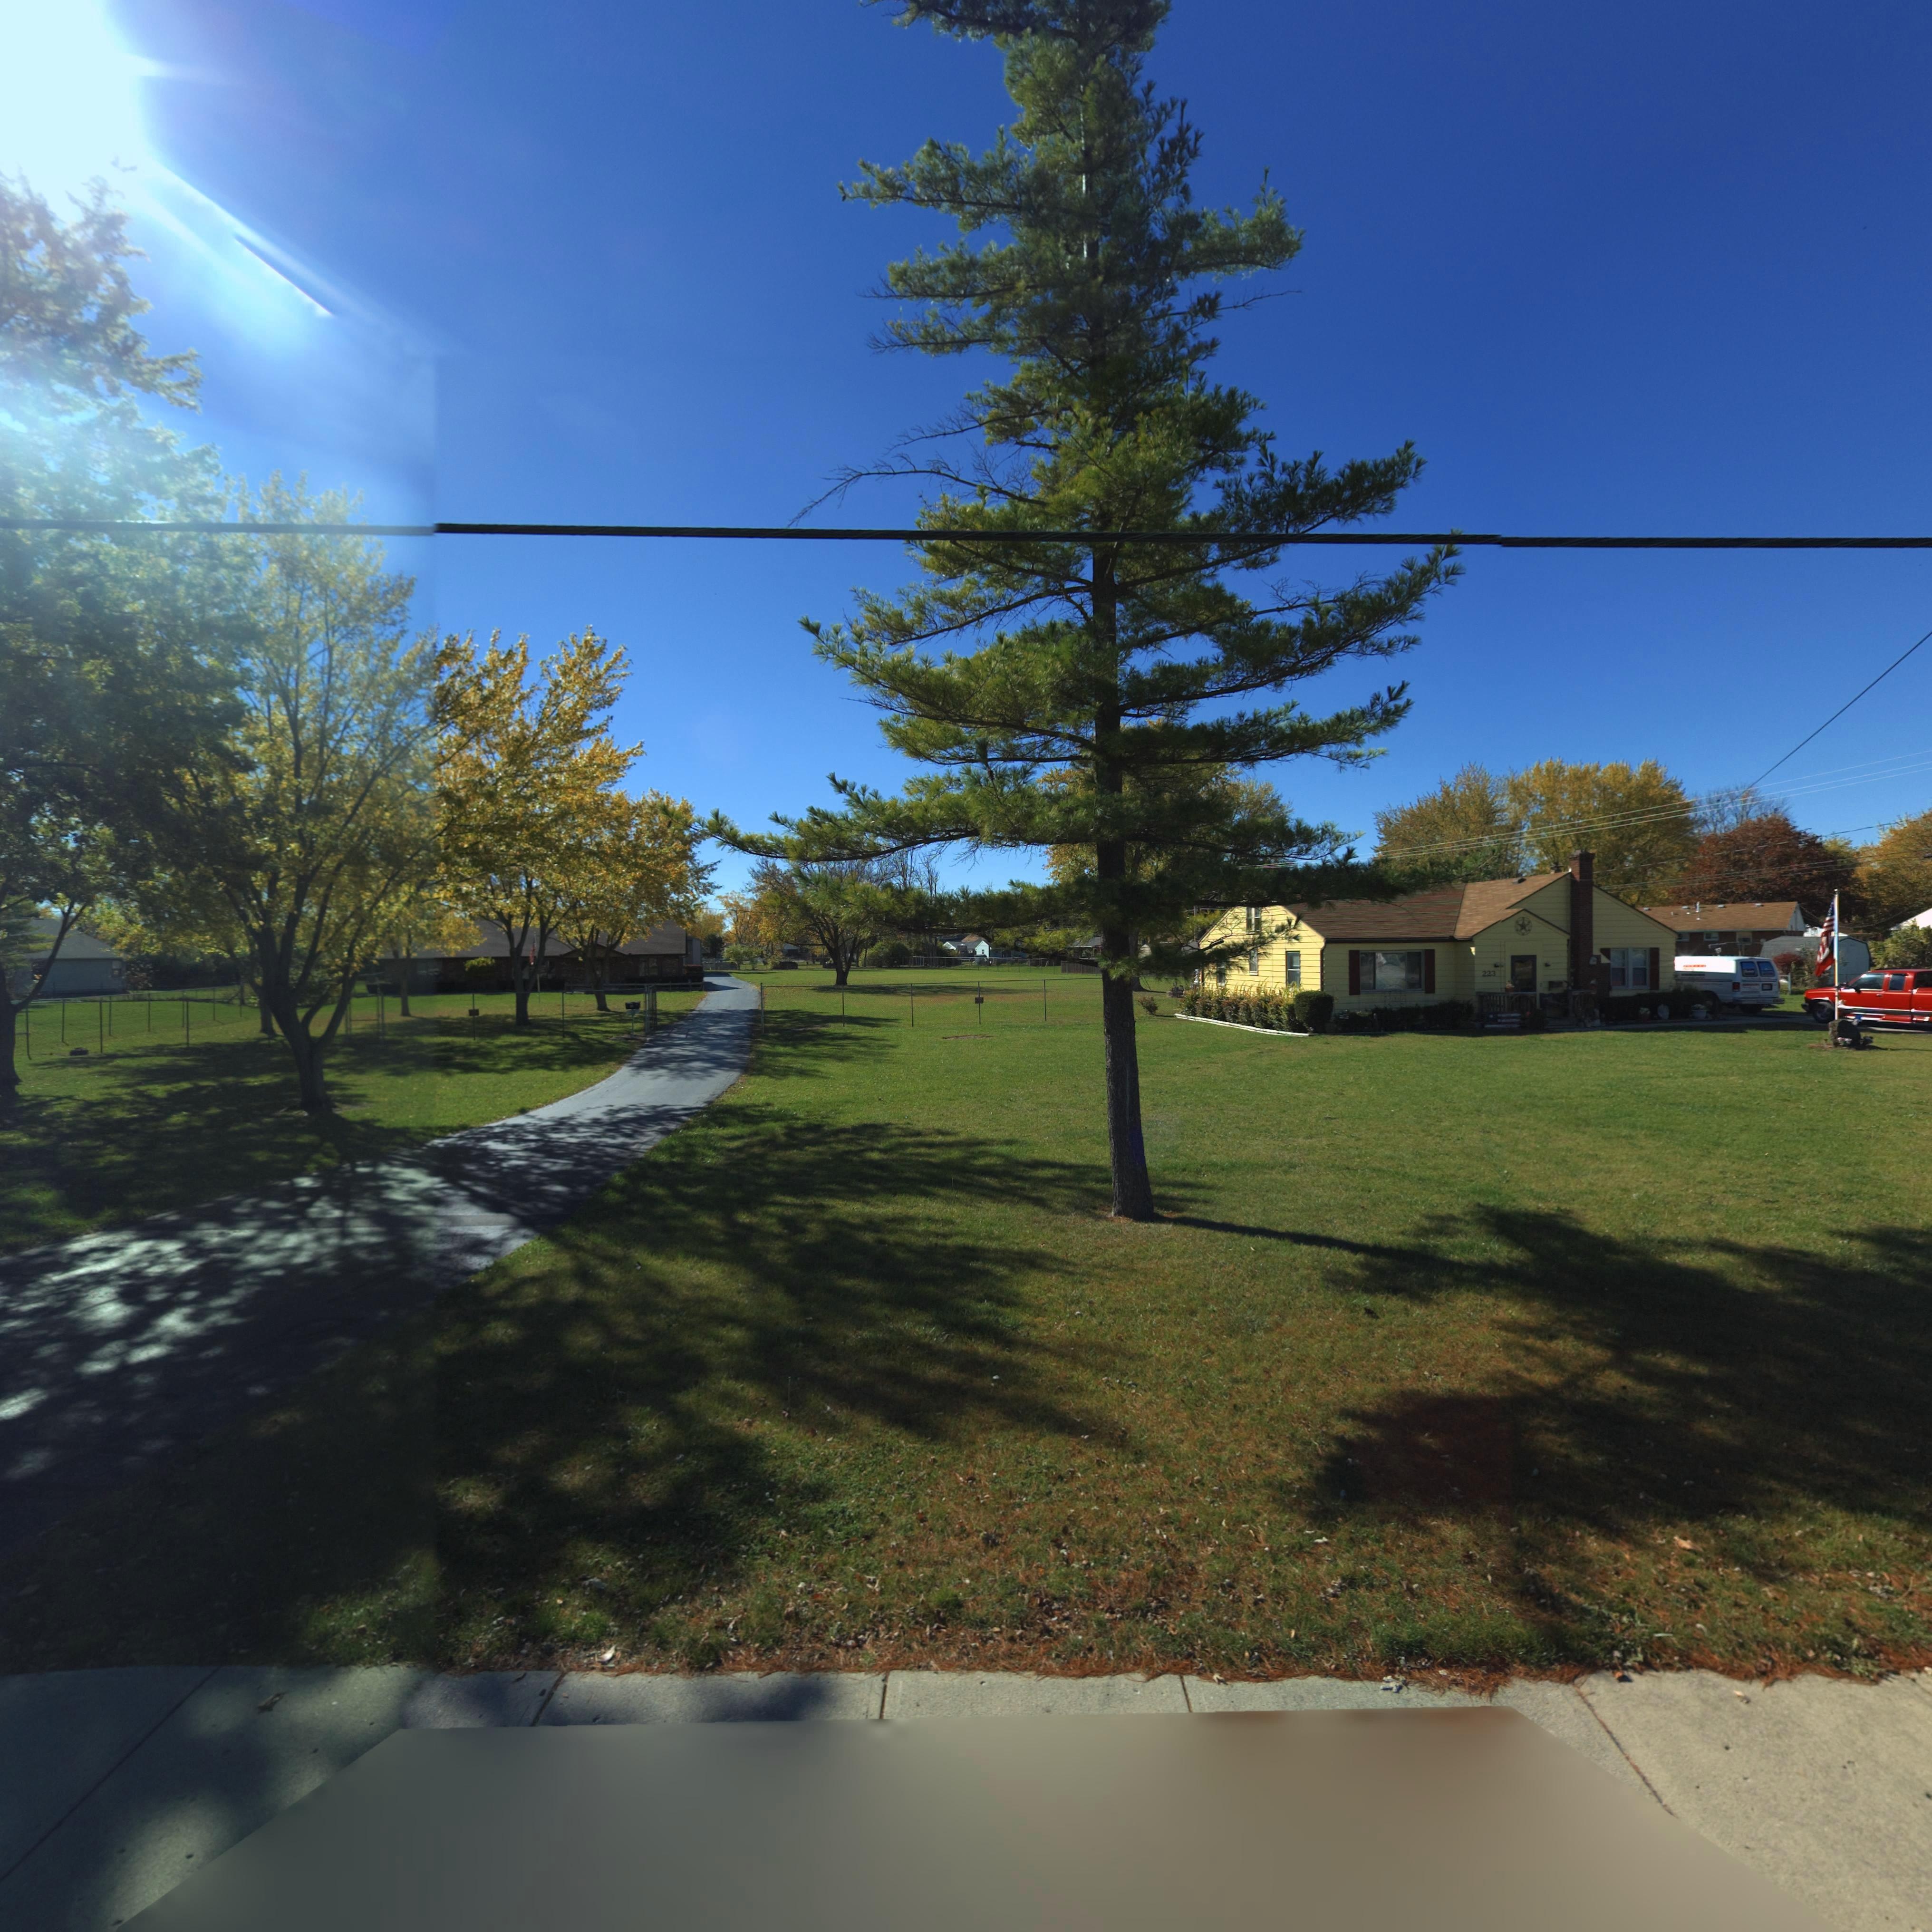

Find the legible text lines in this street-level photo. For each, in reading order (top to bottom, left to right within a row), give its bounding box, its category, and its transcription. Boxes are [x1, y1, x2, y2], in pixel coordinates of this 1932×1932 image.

[1481, 970, 1496, 977] StreetNumber: 223